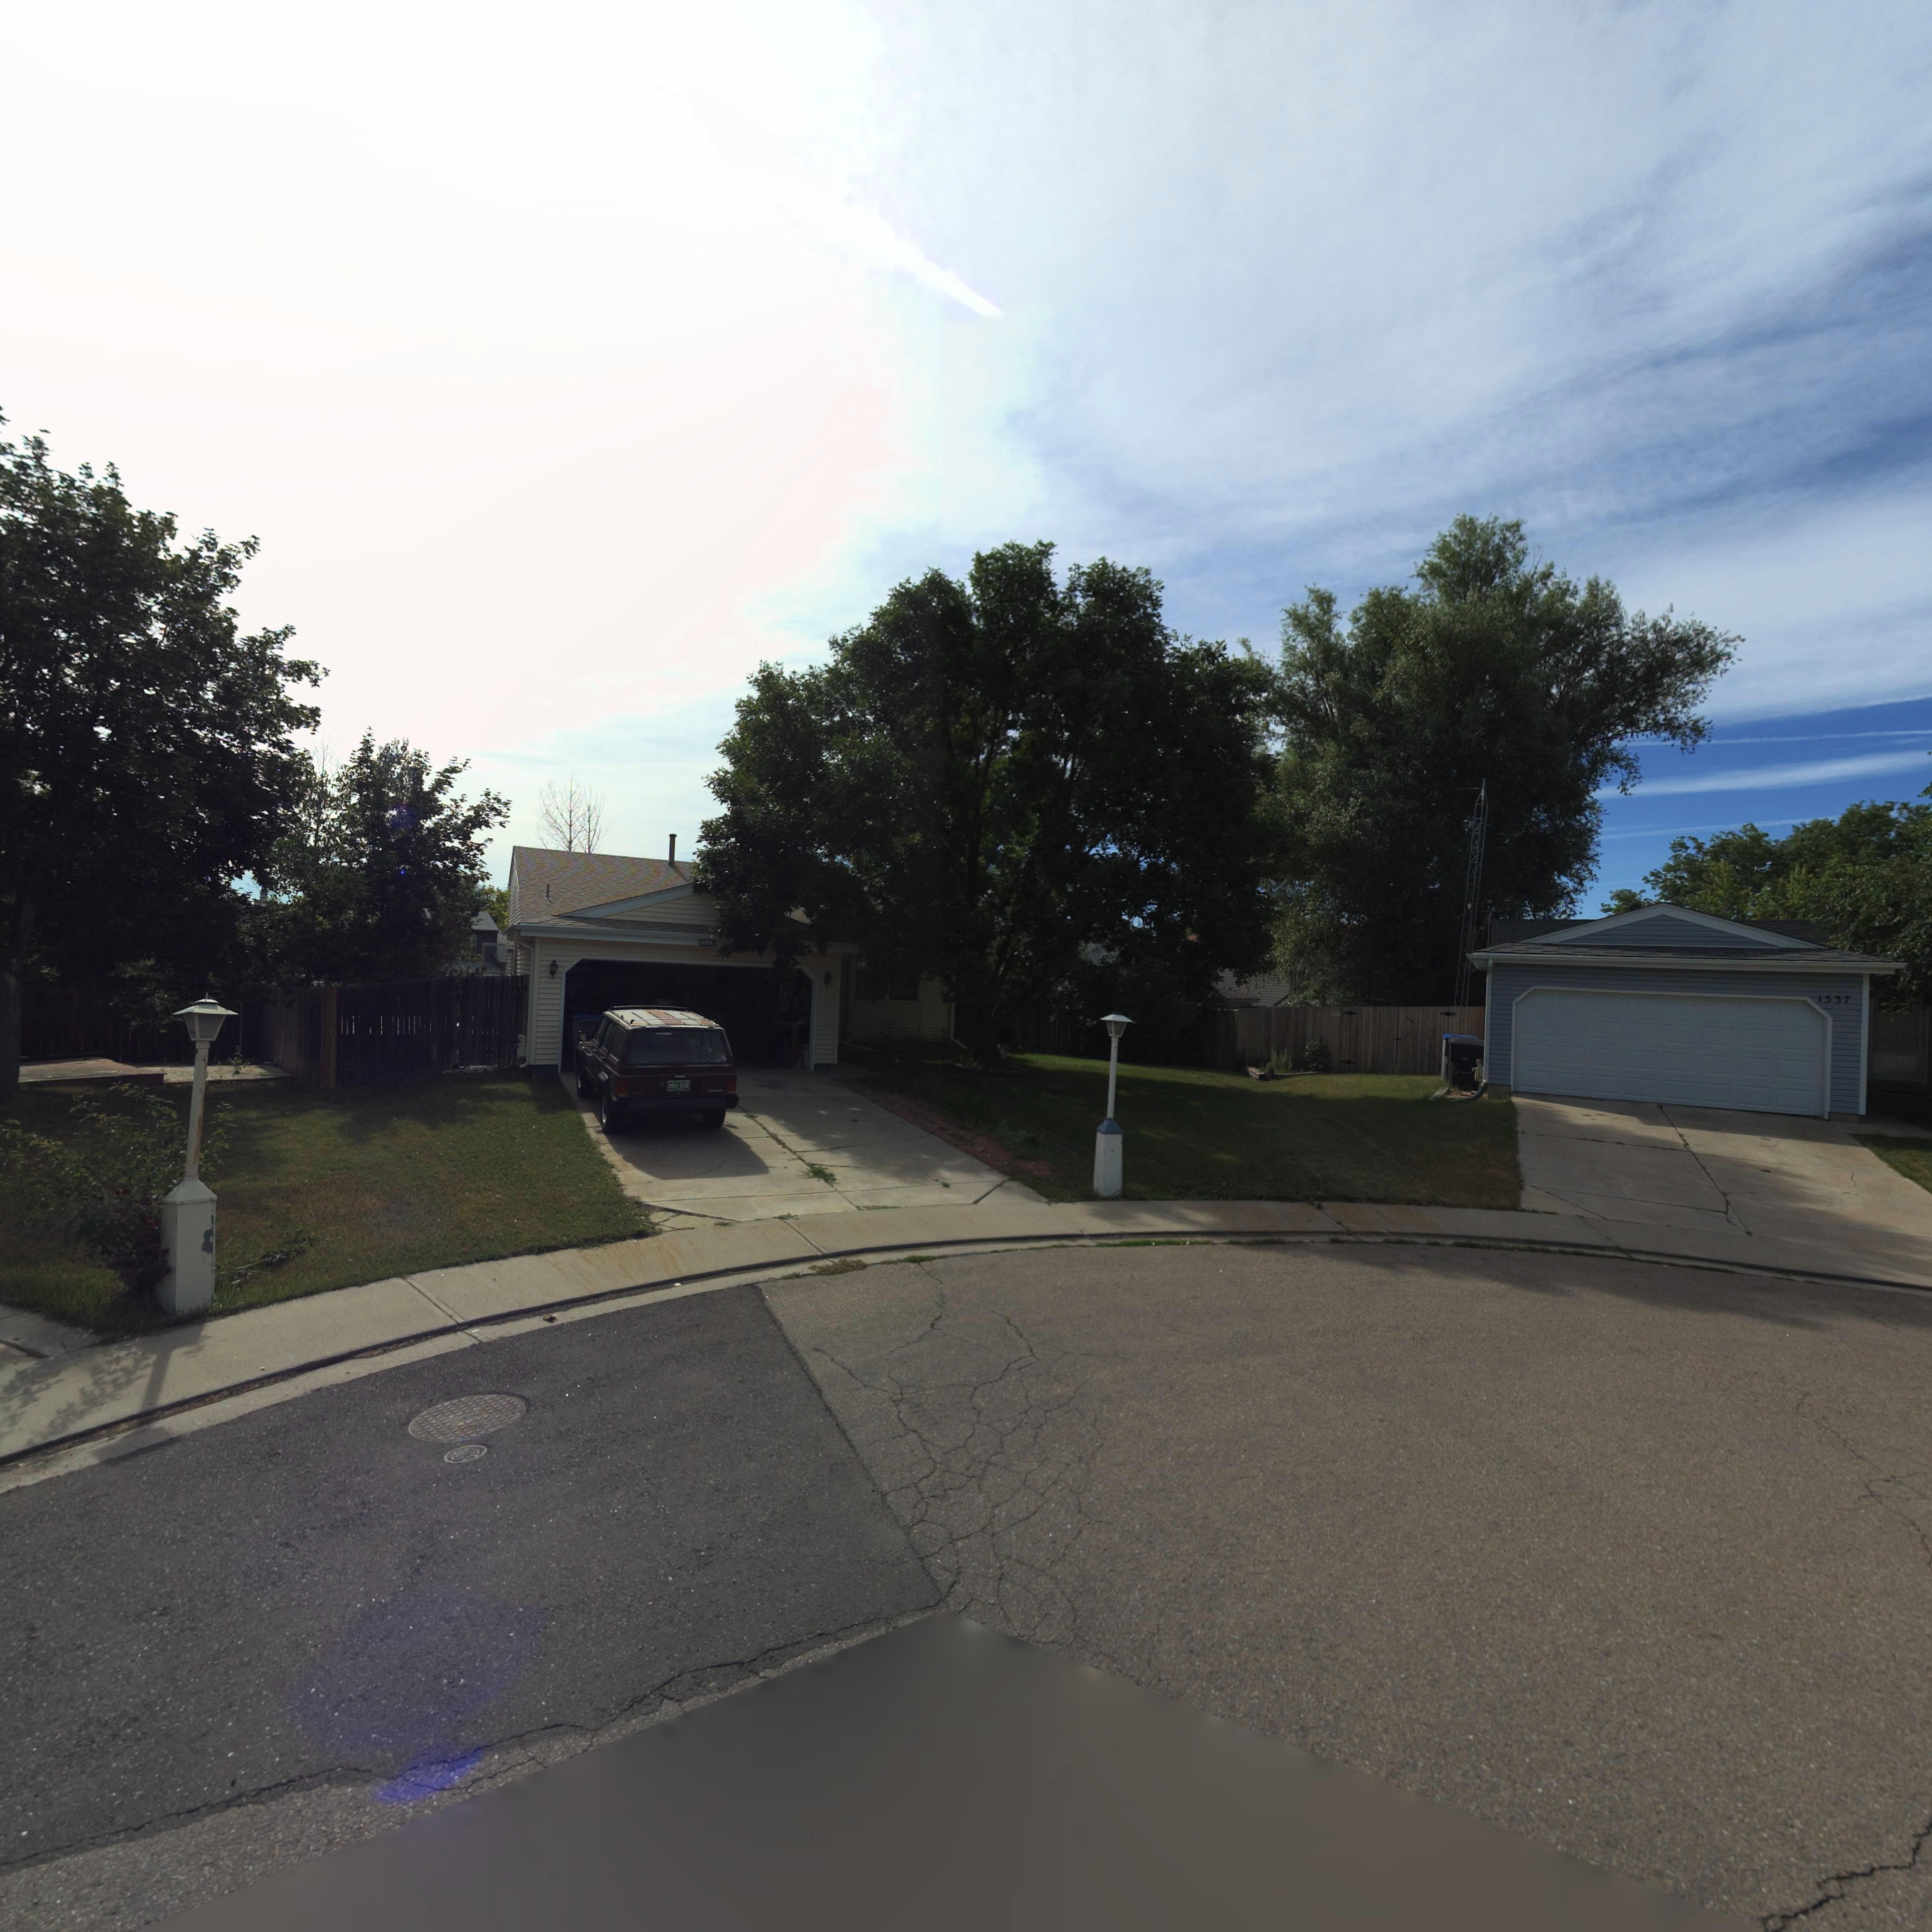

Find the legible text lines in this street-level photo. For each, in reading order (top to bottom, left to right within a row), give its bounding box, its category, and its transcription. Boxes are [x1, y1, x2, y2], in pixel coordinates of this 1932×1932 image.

[700, 940, 714, 945] StreetNumber: 15**
[1817, 994, 1851, 1004] StreetNumber: 1537